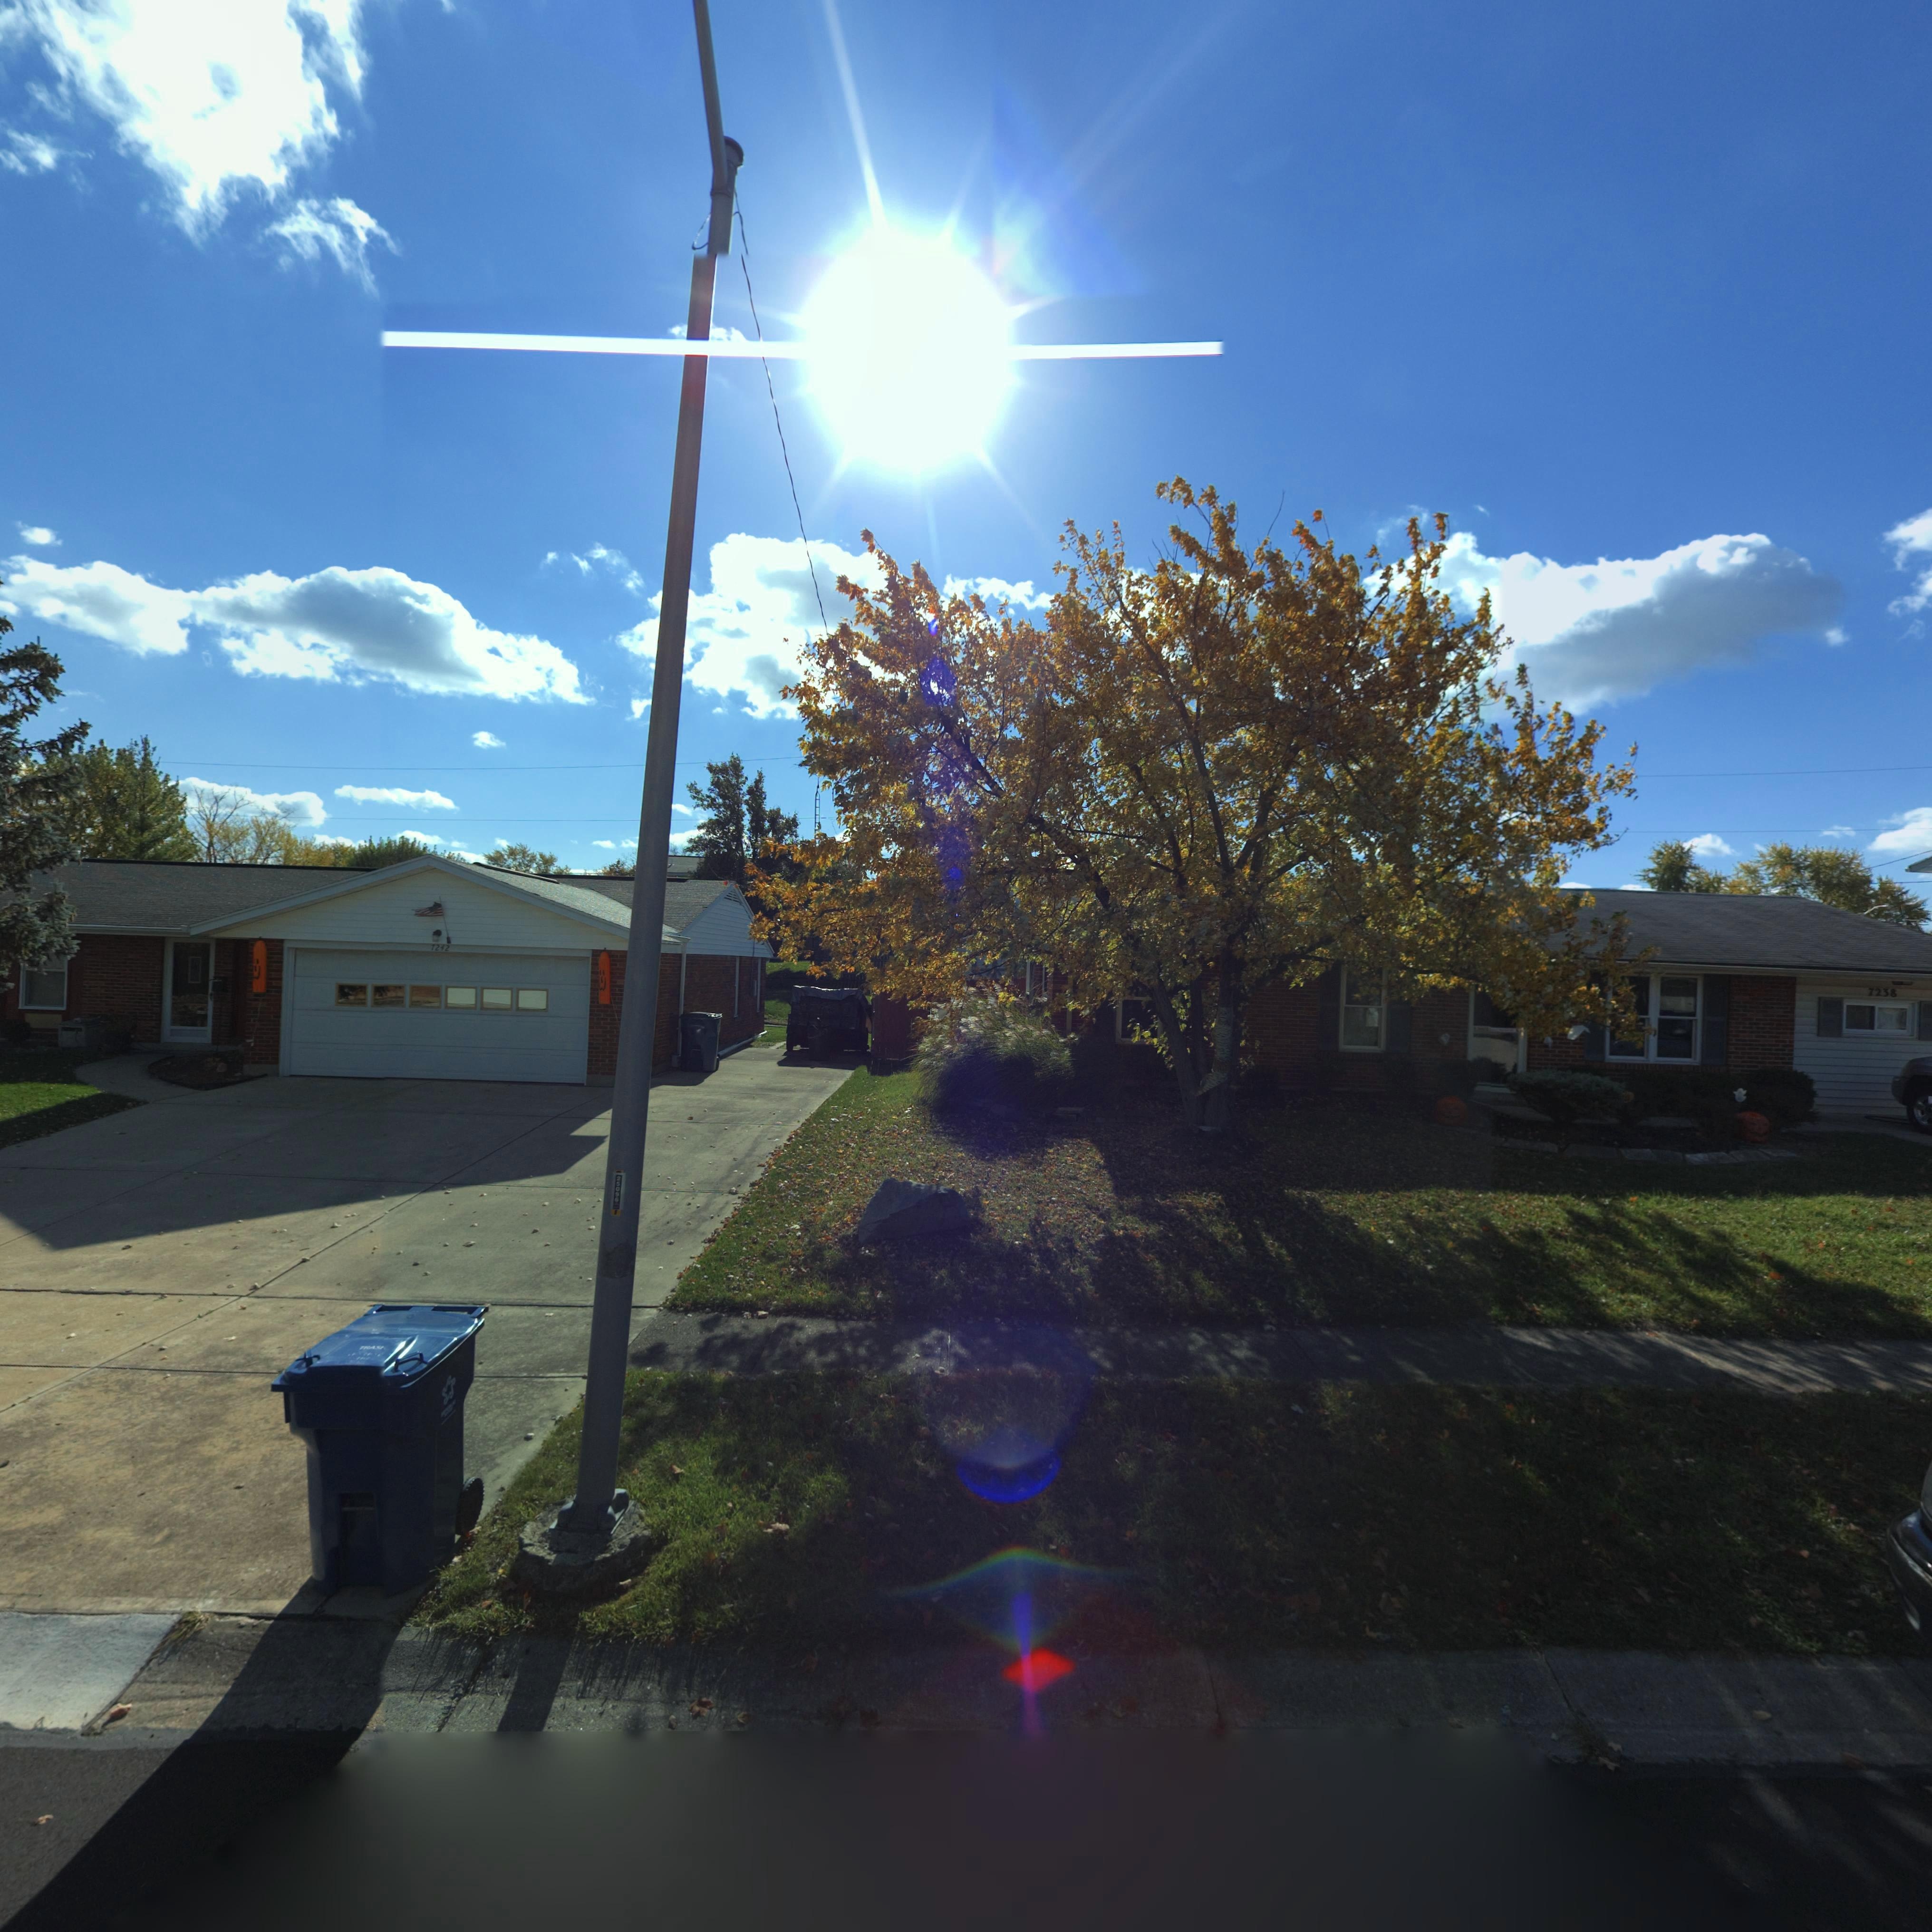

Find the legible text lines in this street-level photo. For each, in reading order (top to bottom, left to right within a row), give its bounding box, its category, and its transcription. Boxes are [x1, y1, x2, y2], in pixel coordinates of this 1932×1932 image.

[430, 943, 451, 952] StreetNumber: 7242
[1867, 987, 1899, 999] StreetNumber: 7238